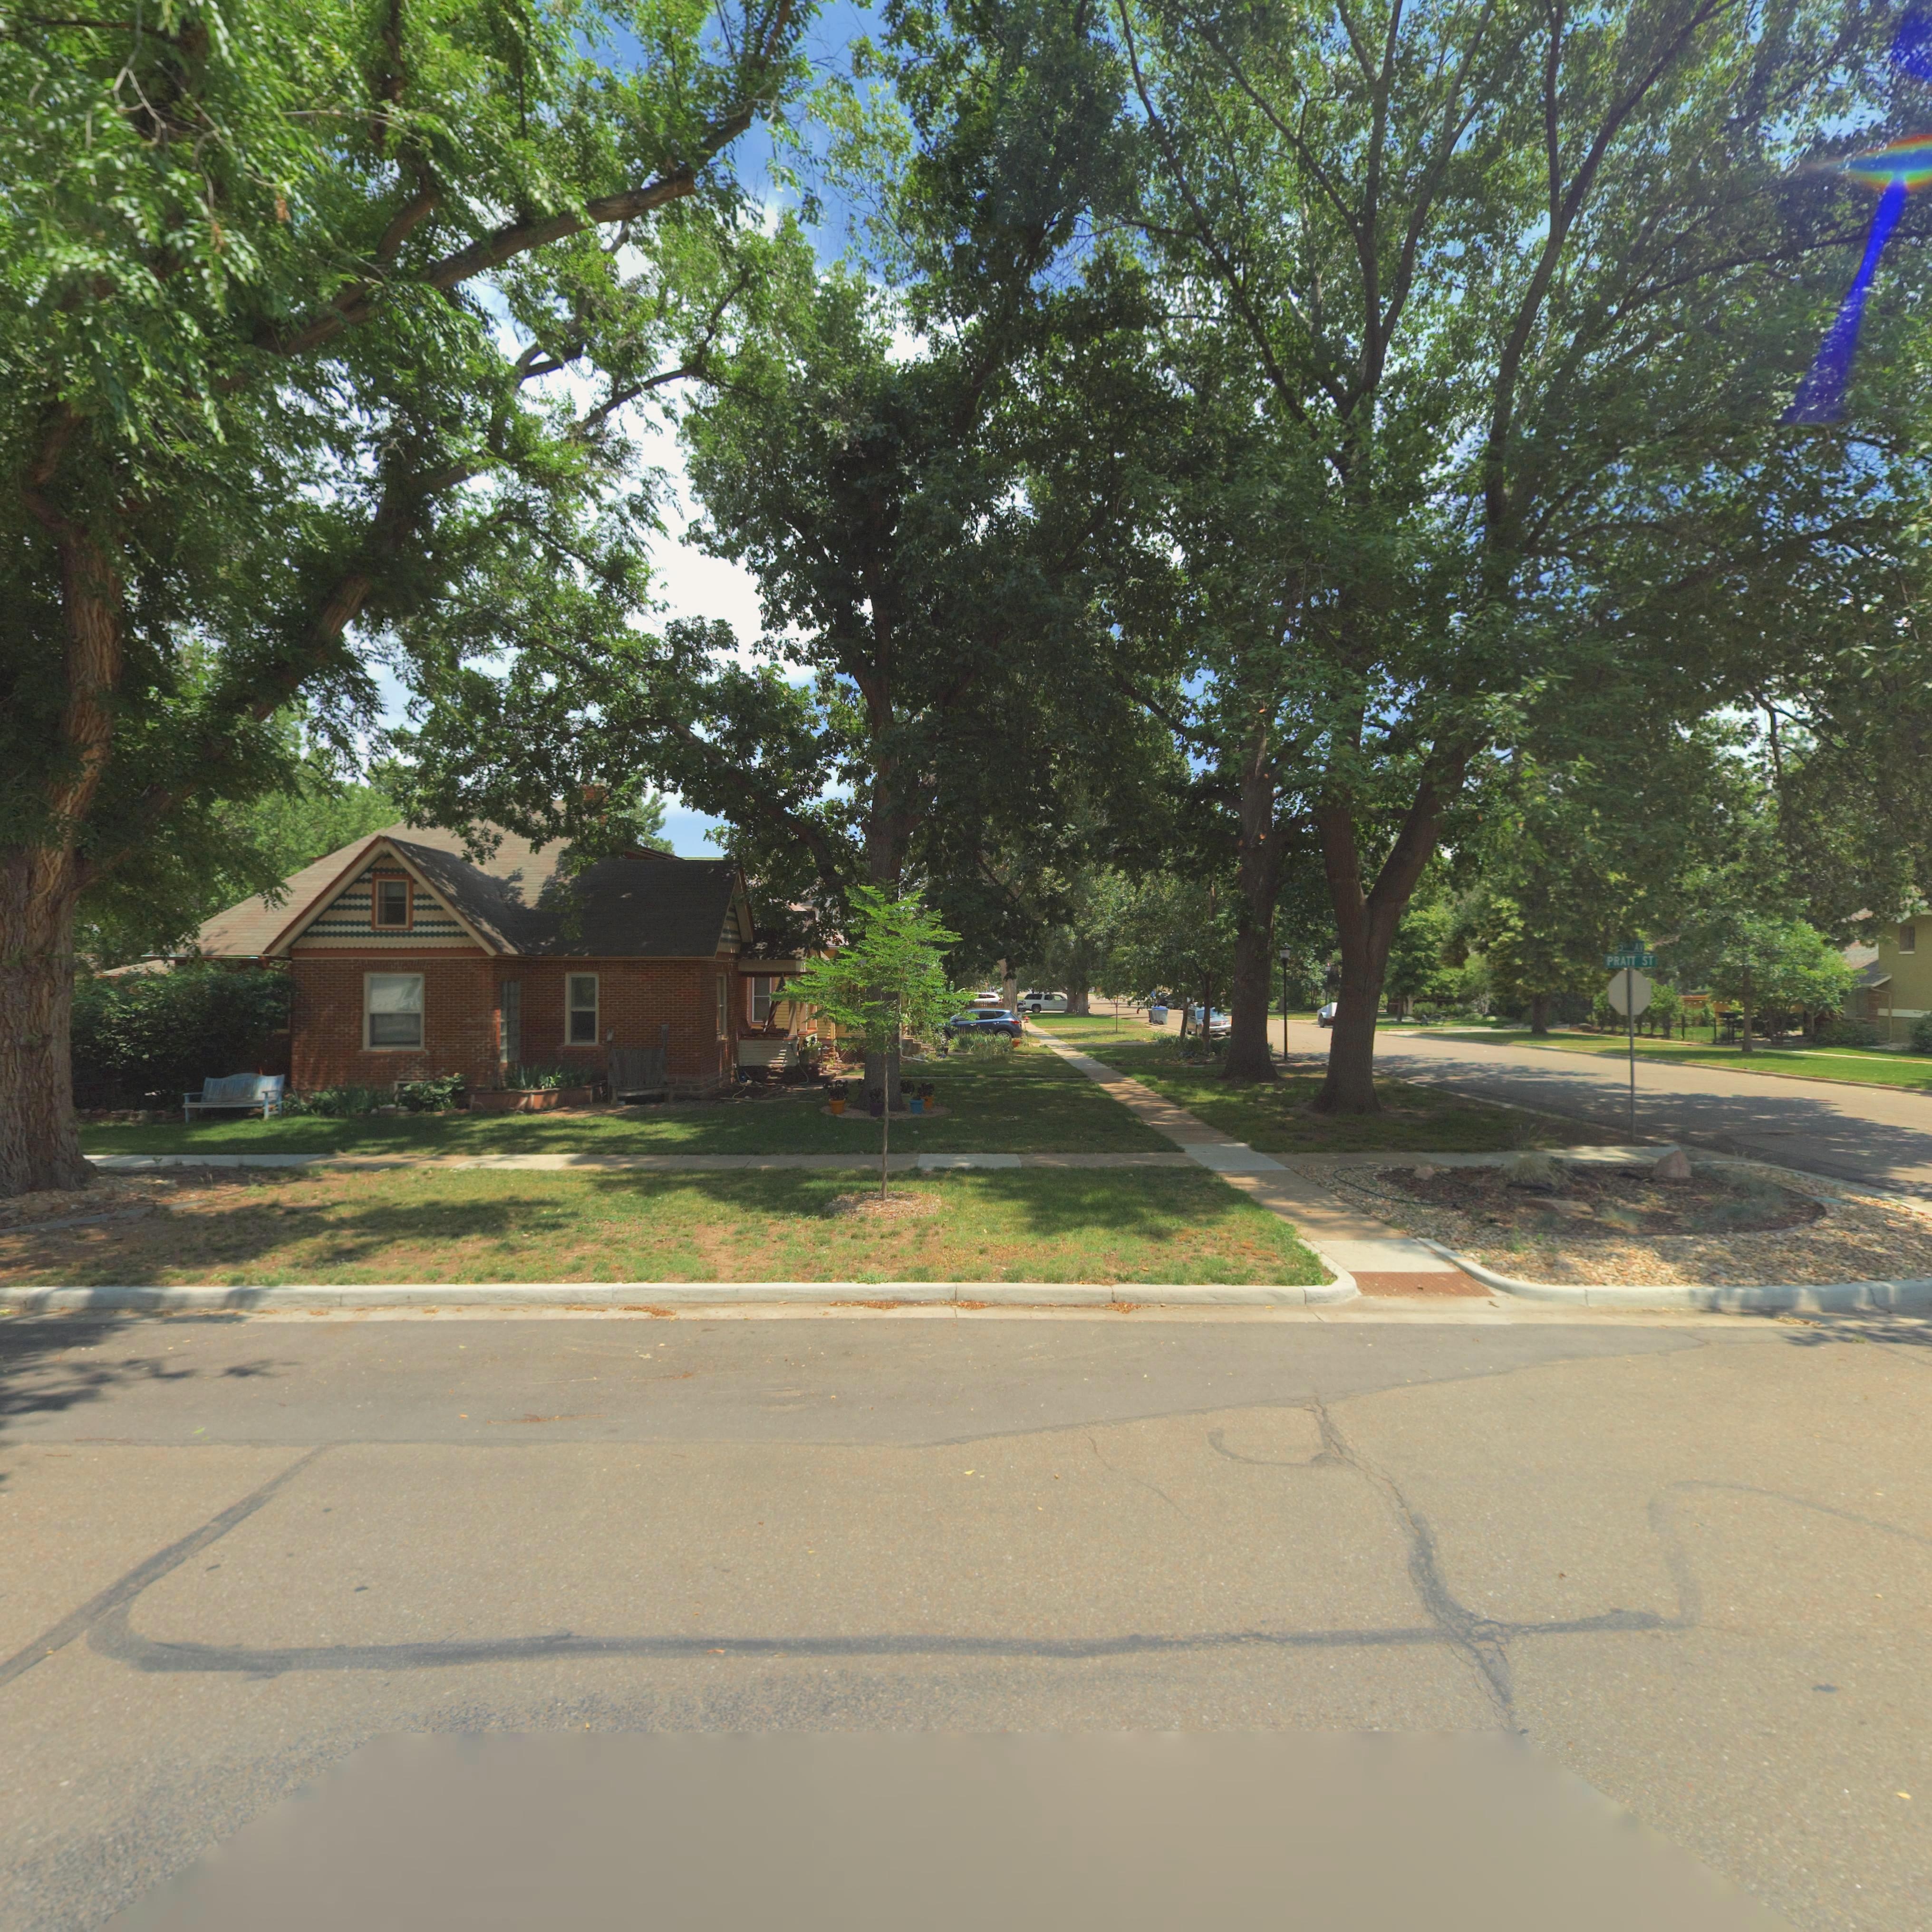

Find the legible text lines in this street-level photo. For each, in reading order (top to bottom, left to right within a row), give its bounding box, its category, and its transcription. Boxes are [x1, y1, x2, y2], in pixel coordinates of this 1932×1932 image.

[1617, 941, 1644, 952] None: 5** AV
[1607, 956, 1653, 965] StreetName: PRATT ST